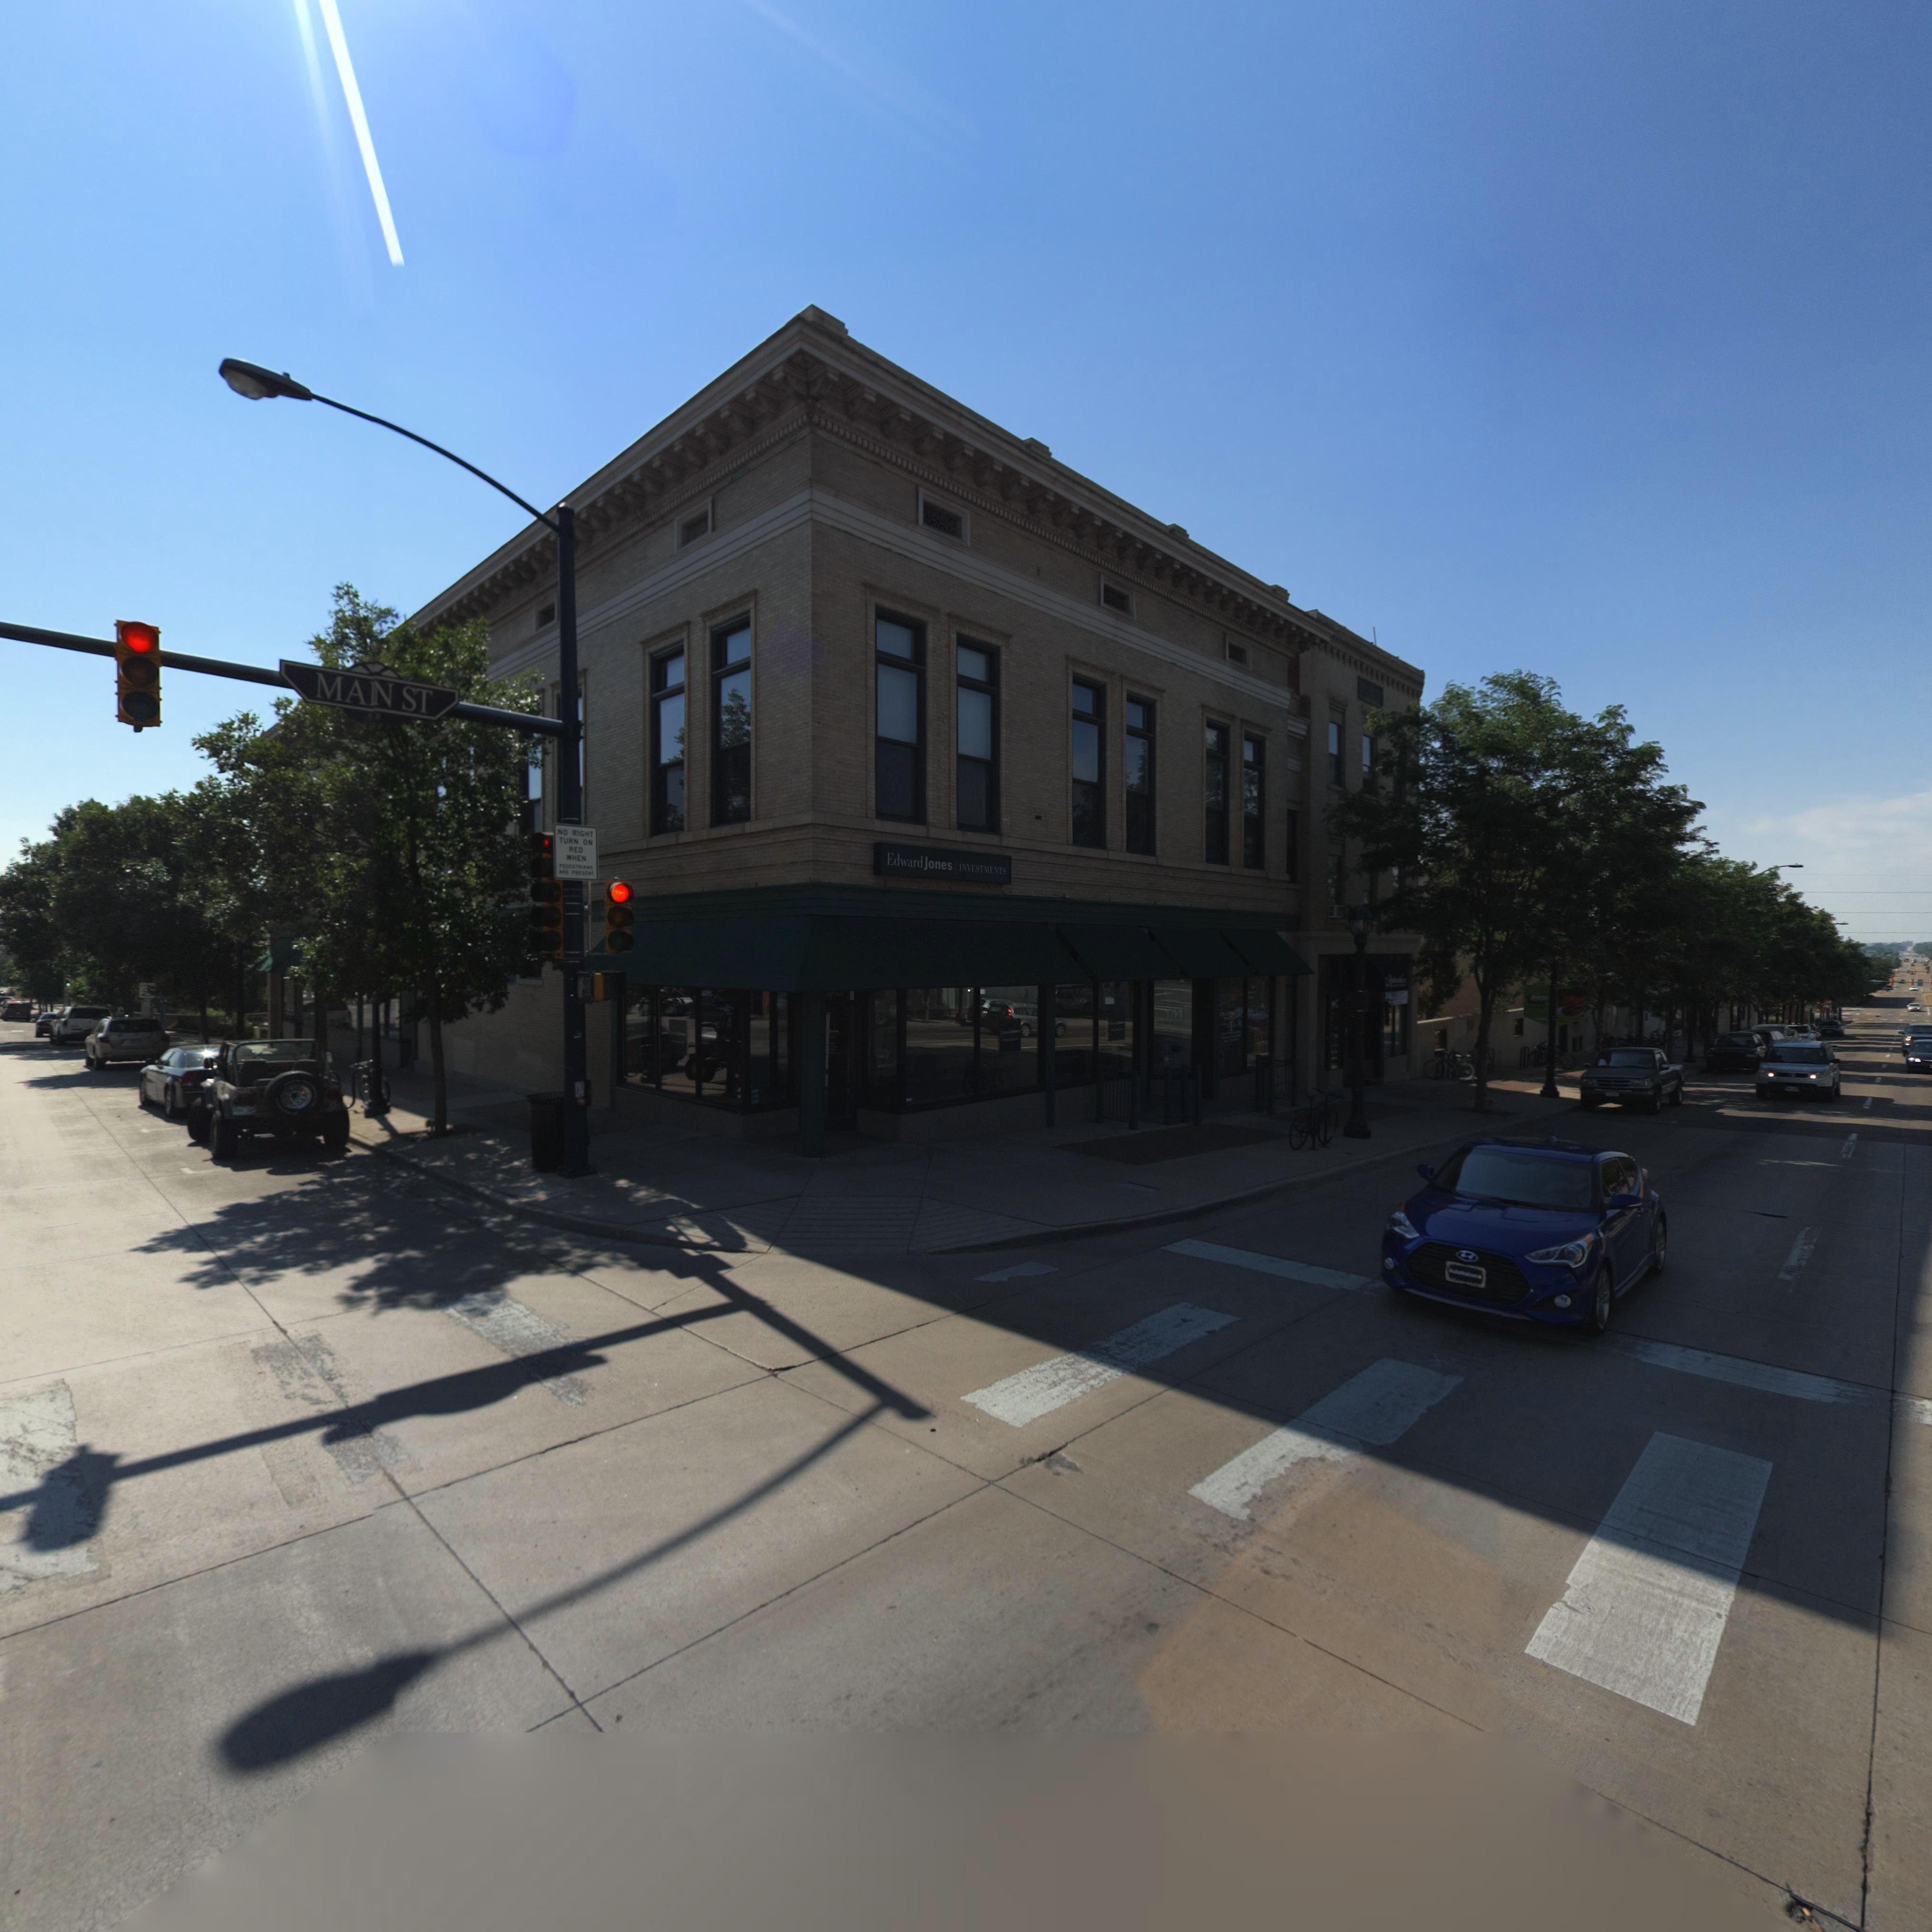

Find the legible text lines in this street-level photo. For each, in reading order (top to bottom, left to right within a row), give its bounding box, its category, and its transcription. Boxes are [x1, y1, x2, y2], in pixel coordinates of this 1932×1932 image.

[313, 670, 435, 714] StreetName: MA*N ST
[887, 851, 1007, 875] BusinessName: Edward Jones INVESTMENTS
[826, 991, 843, 996] StreetName: *RD Av*
[1000, 1028, 1020, 1035] BusinessName: Ed*** J****